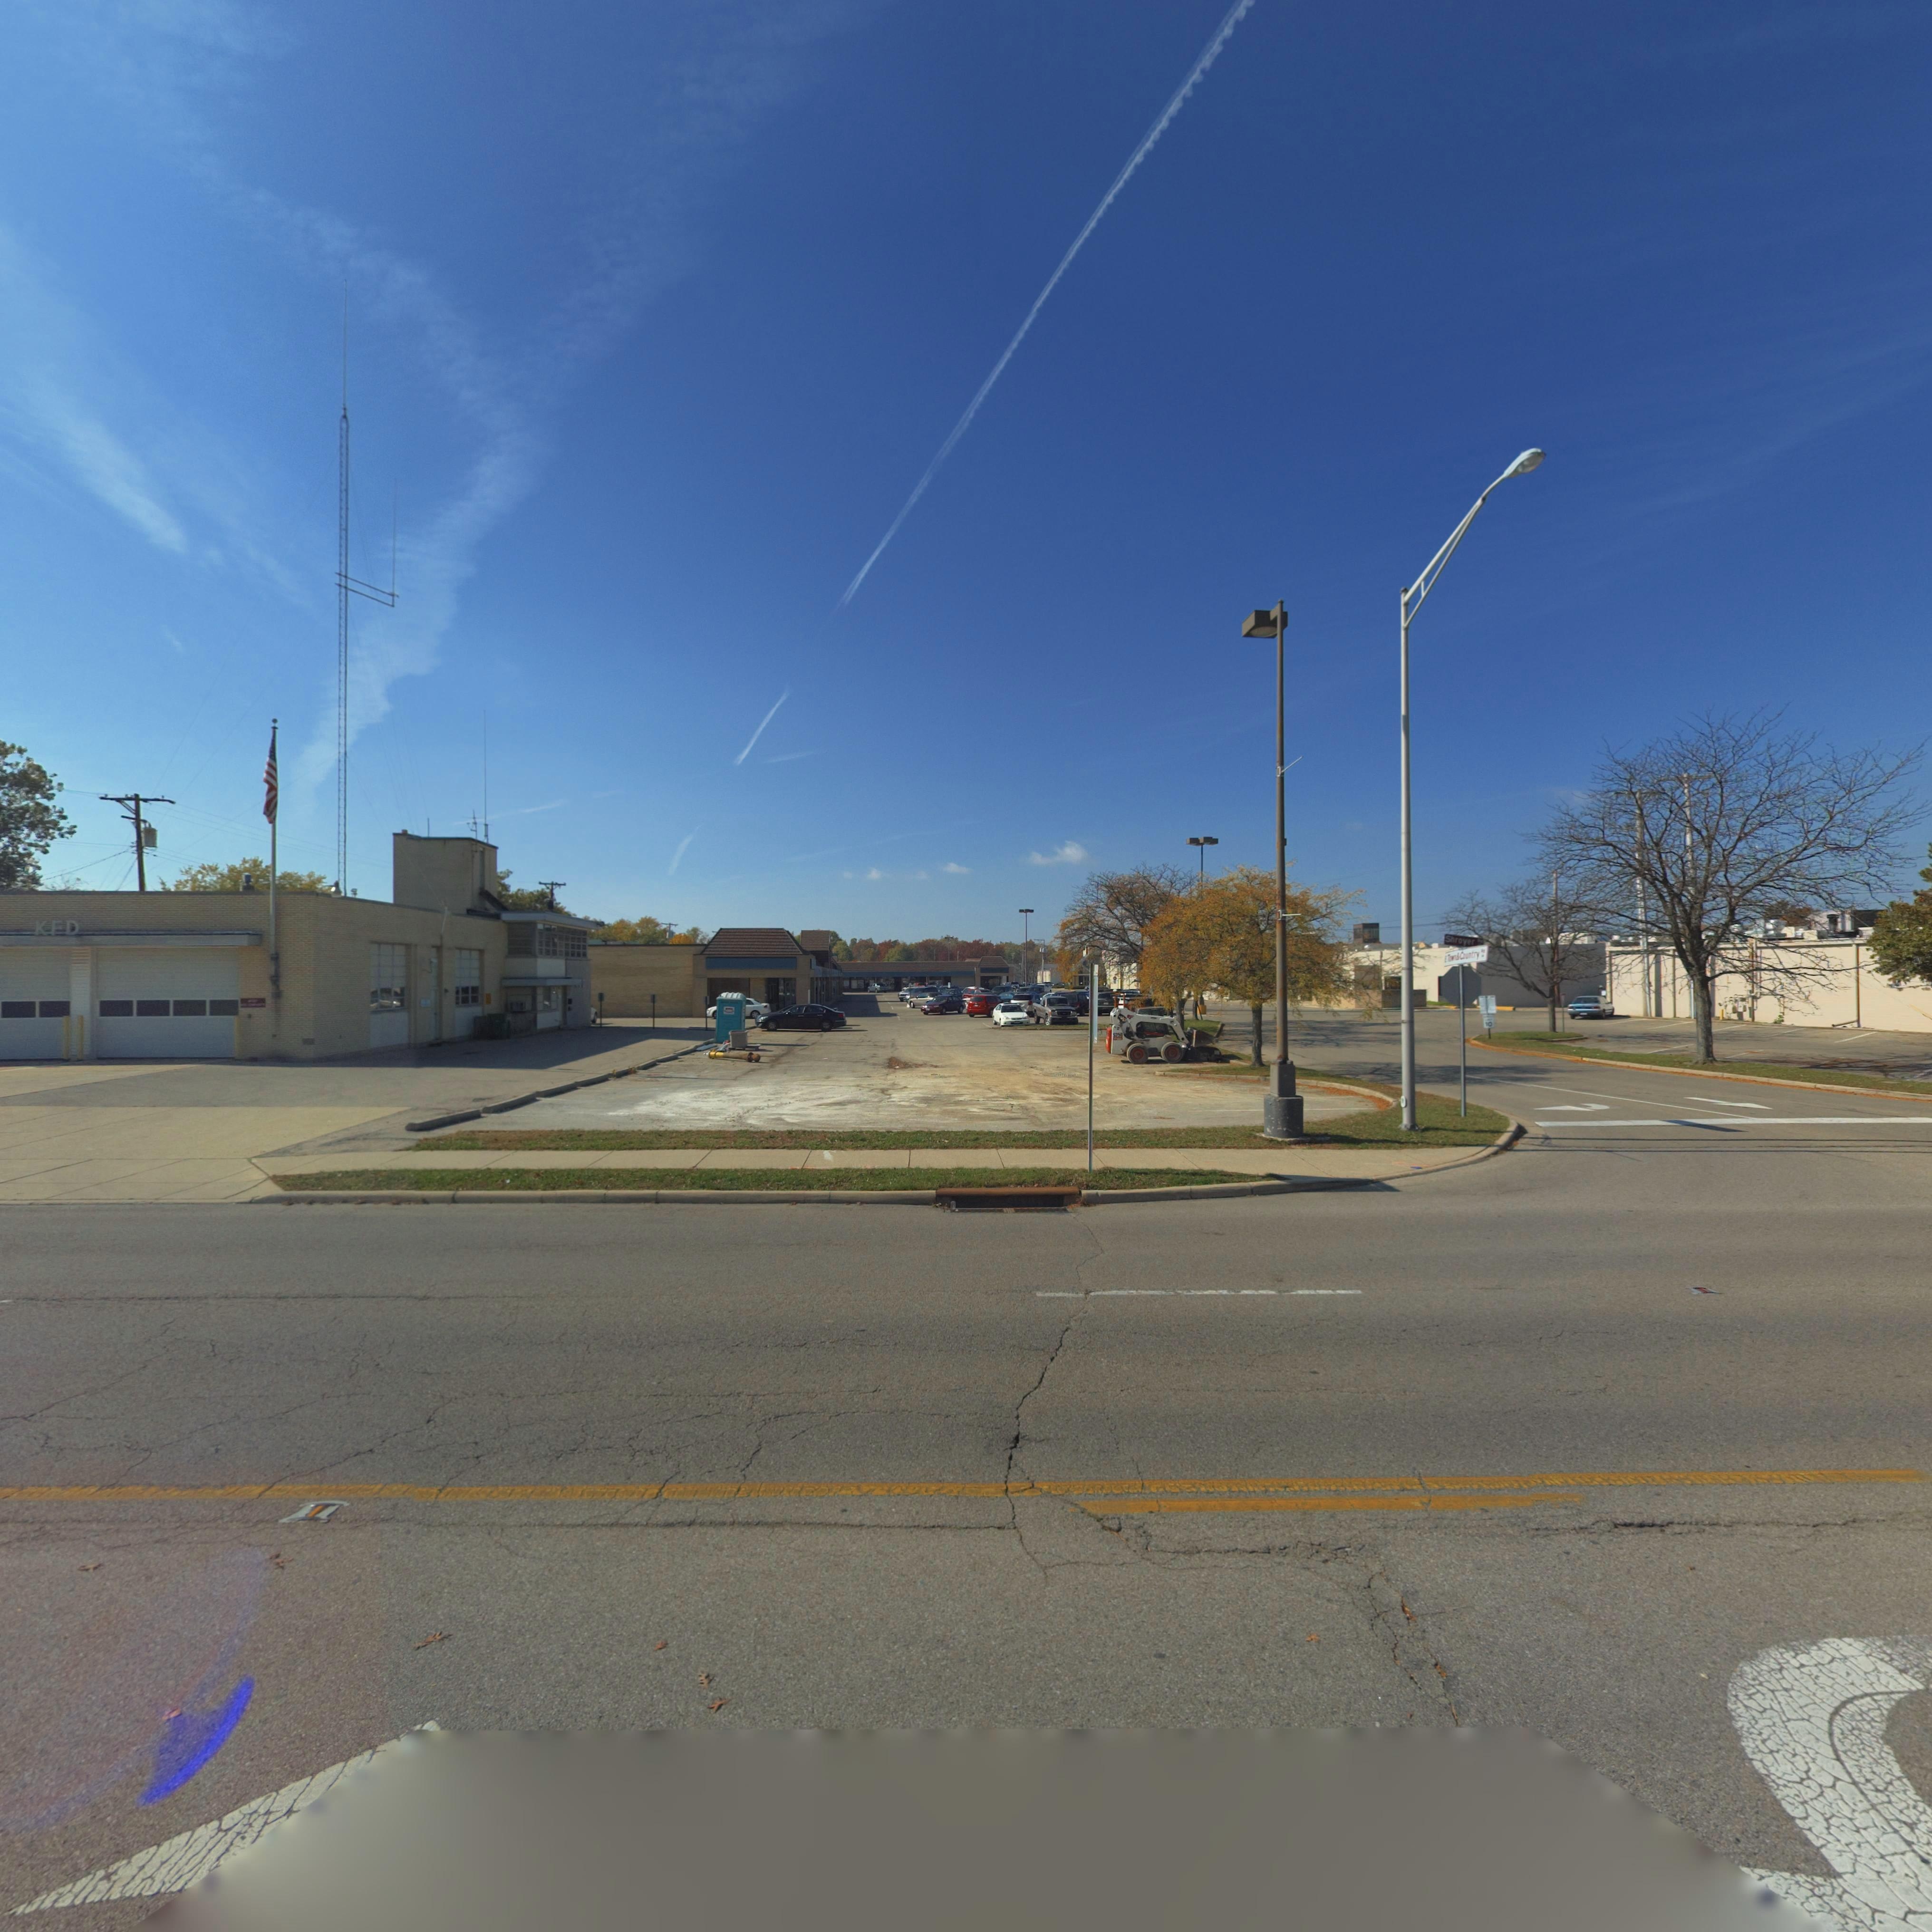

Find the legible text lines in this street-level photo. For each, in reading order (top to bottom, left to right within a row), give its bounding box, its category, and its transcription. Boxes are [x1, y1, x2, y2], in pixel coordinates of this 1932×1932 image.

[35, 920, 79, 937] None: KFD
[1445, 935, 1476, 947] StreetName: Shroyer
[1444, 951, 1480, 963] StreetName: E T*** & Country
[1485, 1021, 1493, 1027] None: 10